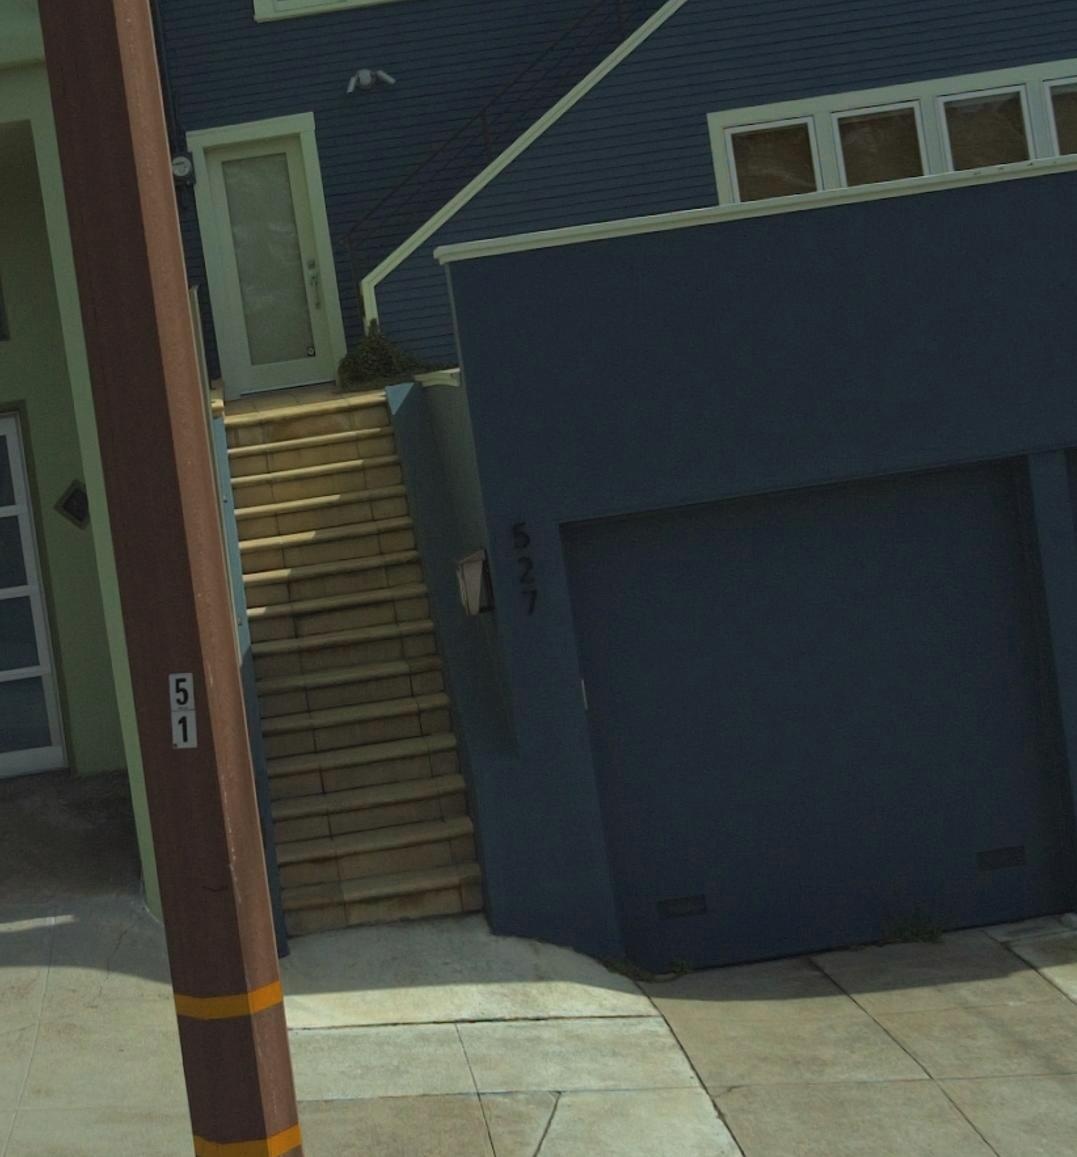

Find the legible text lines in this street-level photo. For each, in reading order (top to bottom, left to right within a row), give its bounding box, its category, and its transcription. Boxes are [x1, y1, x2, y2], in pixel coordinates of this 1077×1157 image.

[509, 518, 545, 622] StreetNumber: 527
[173, 673, 192, 747] None: 51